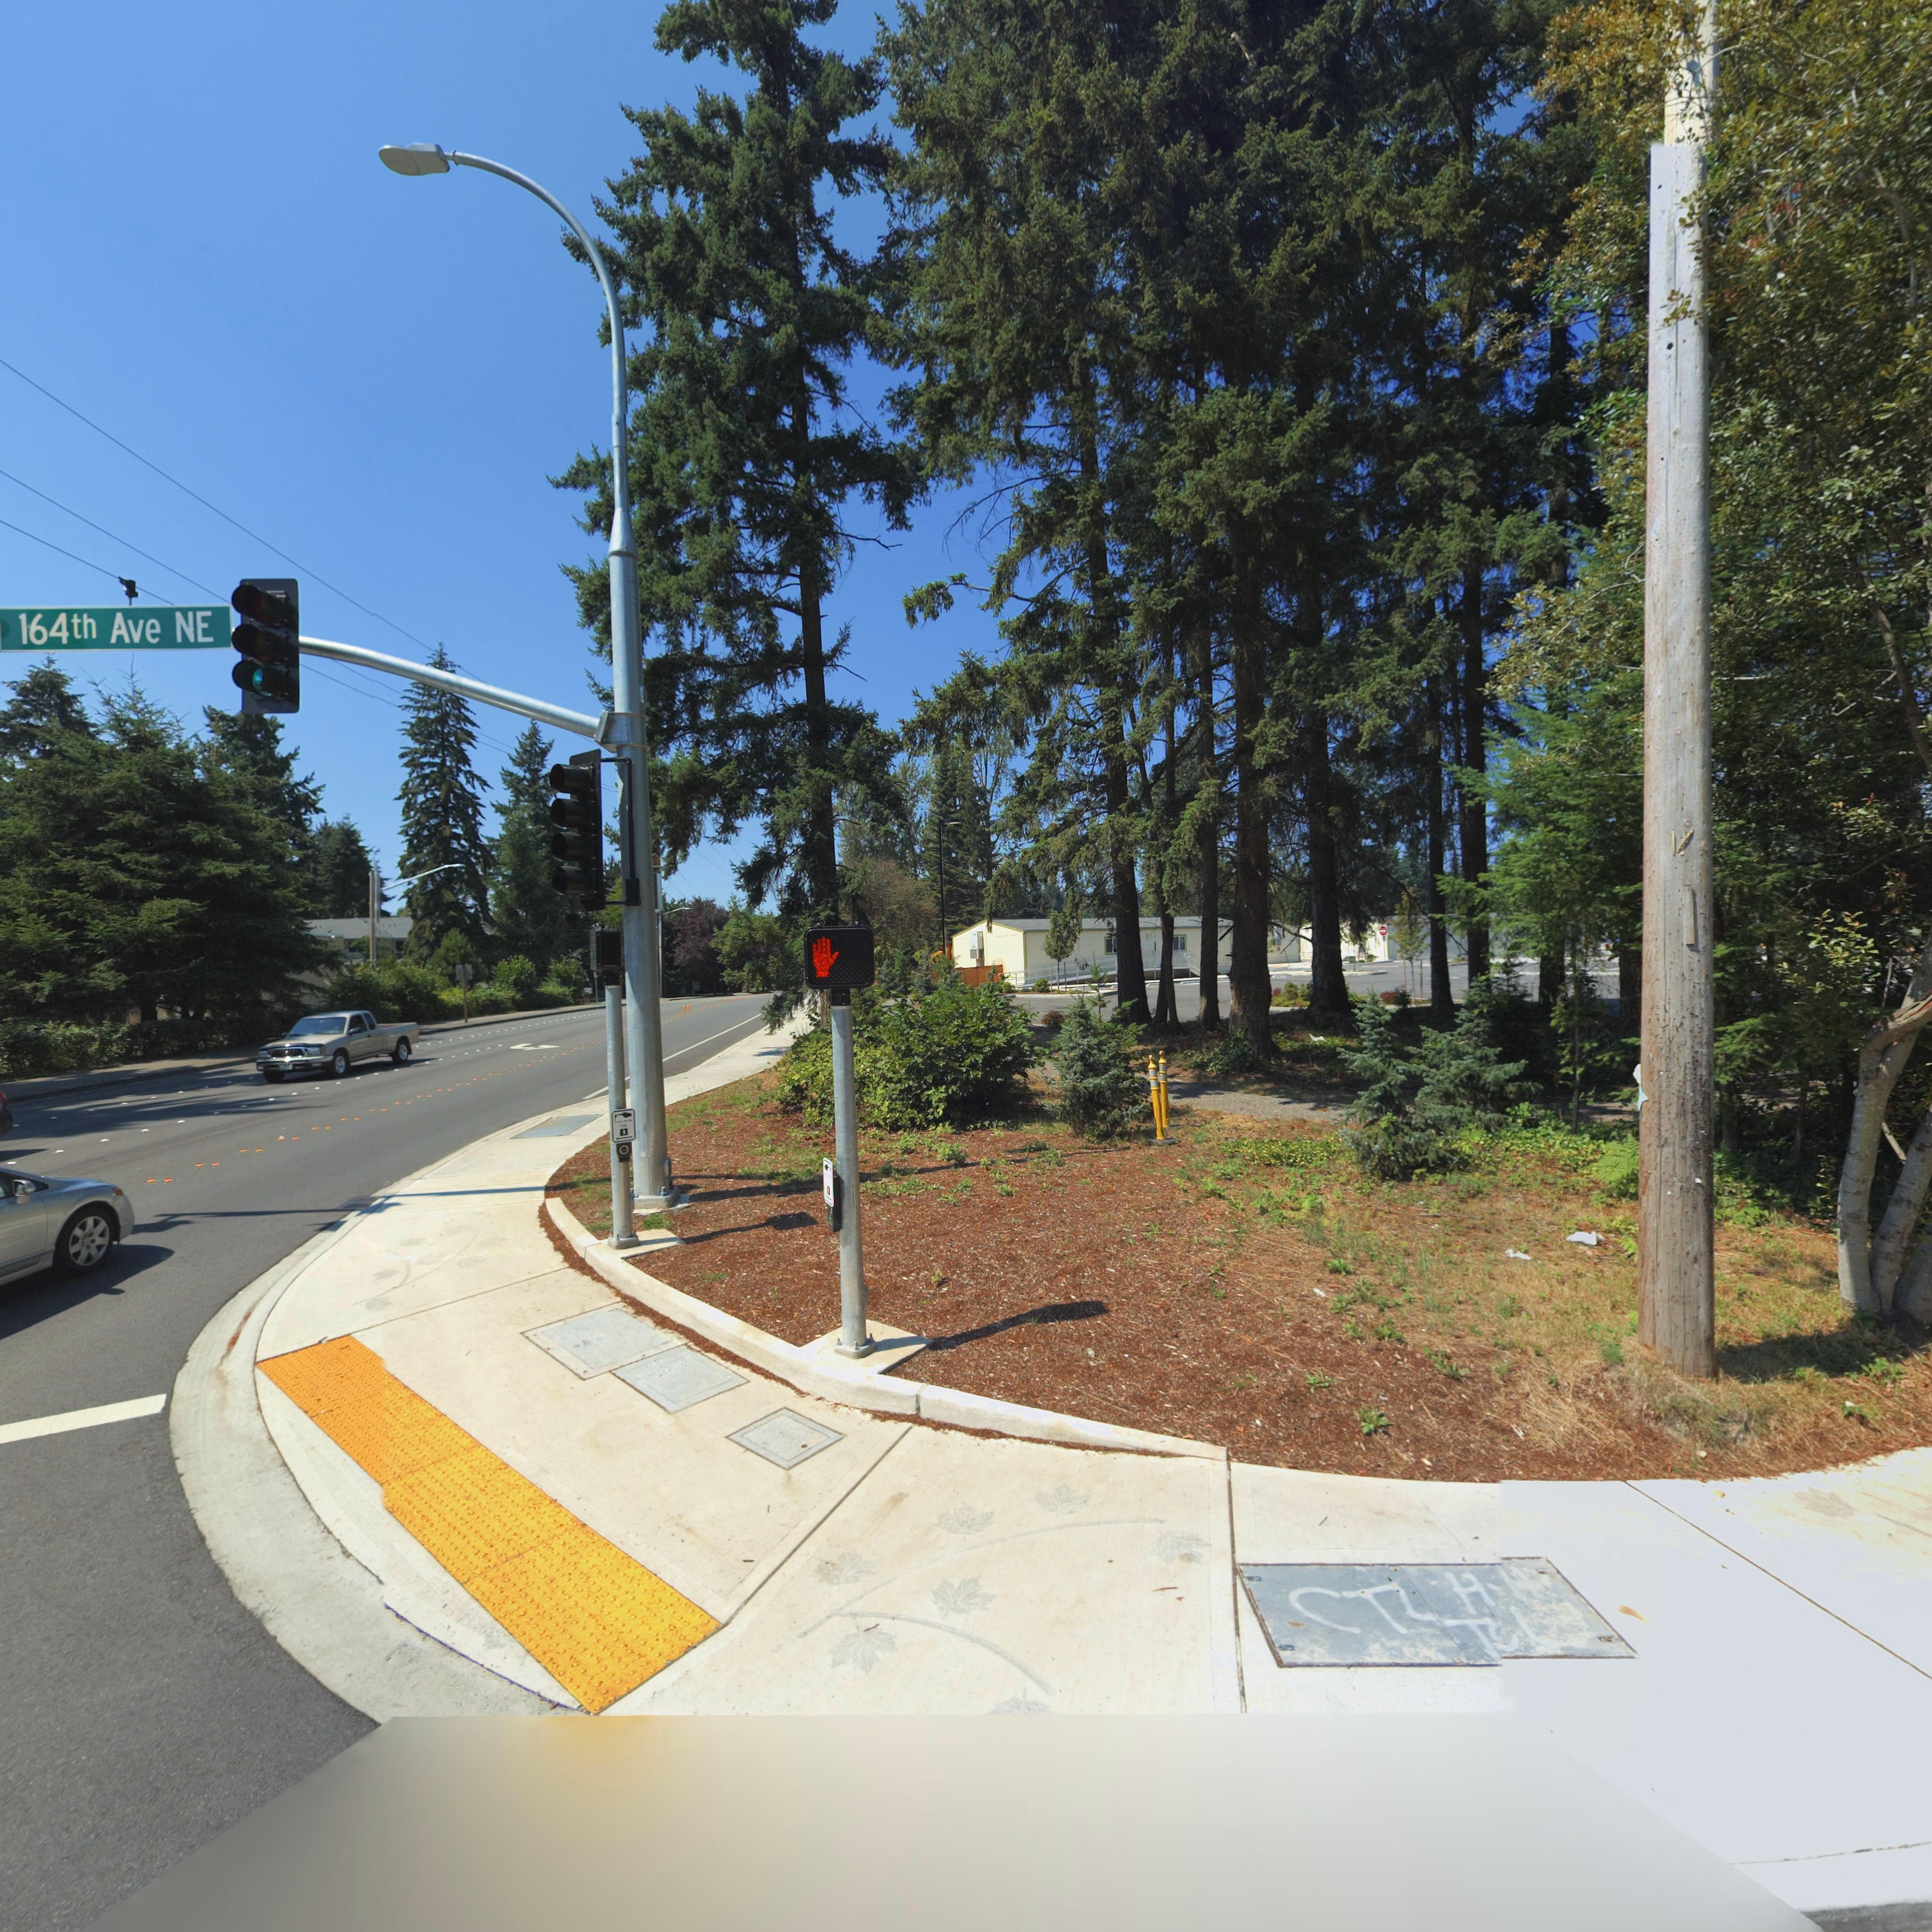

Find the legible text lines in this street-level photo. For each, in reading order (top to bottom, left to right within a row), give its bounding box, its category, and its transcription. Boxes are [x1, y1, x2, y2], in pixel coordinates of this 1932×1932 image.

[16, 610, 216, 646] StreetName: 164th Ave NE